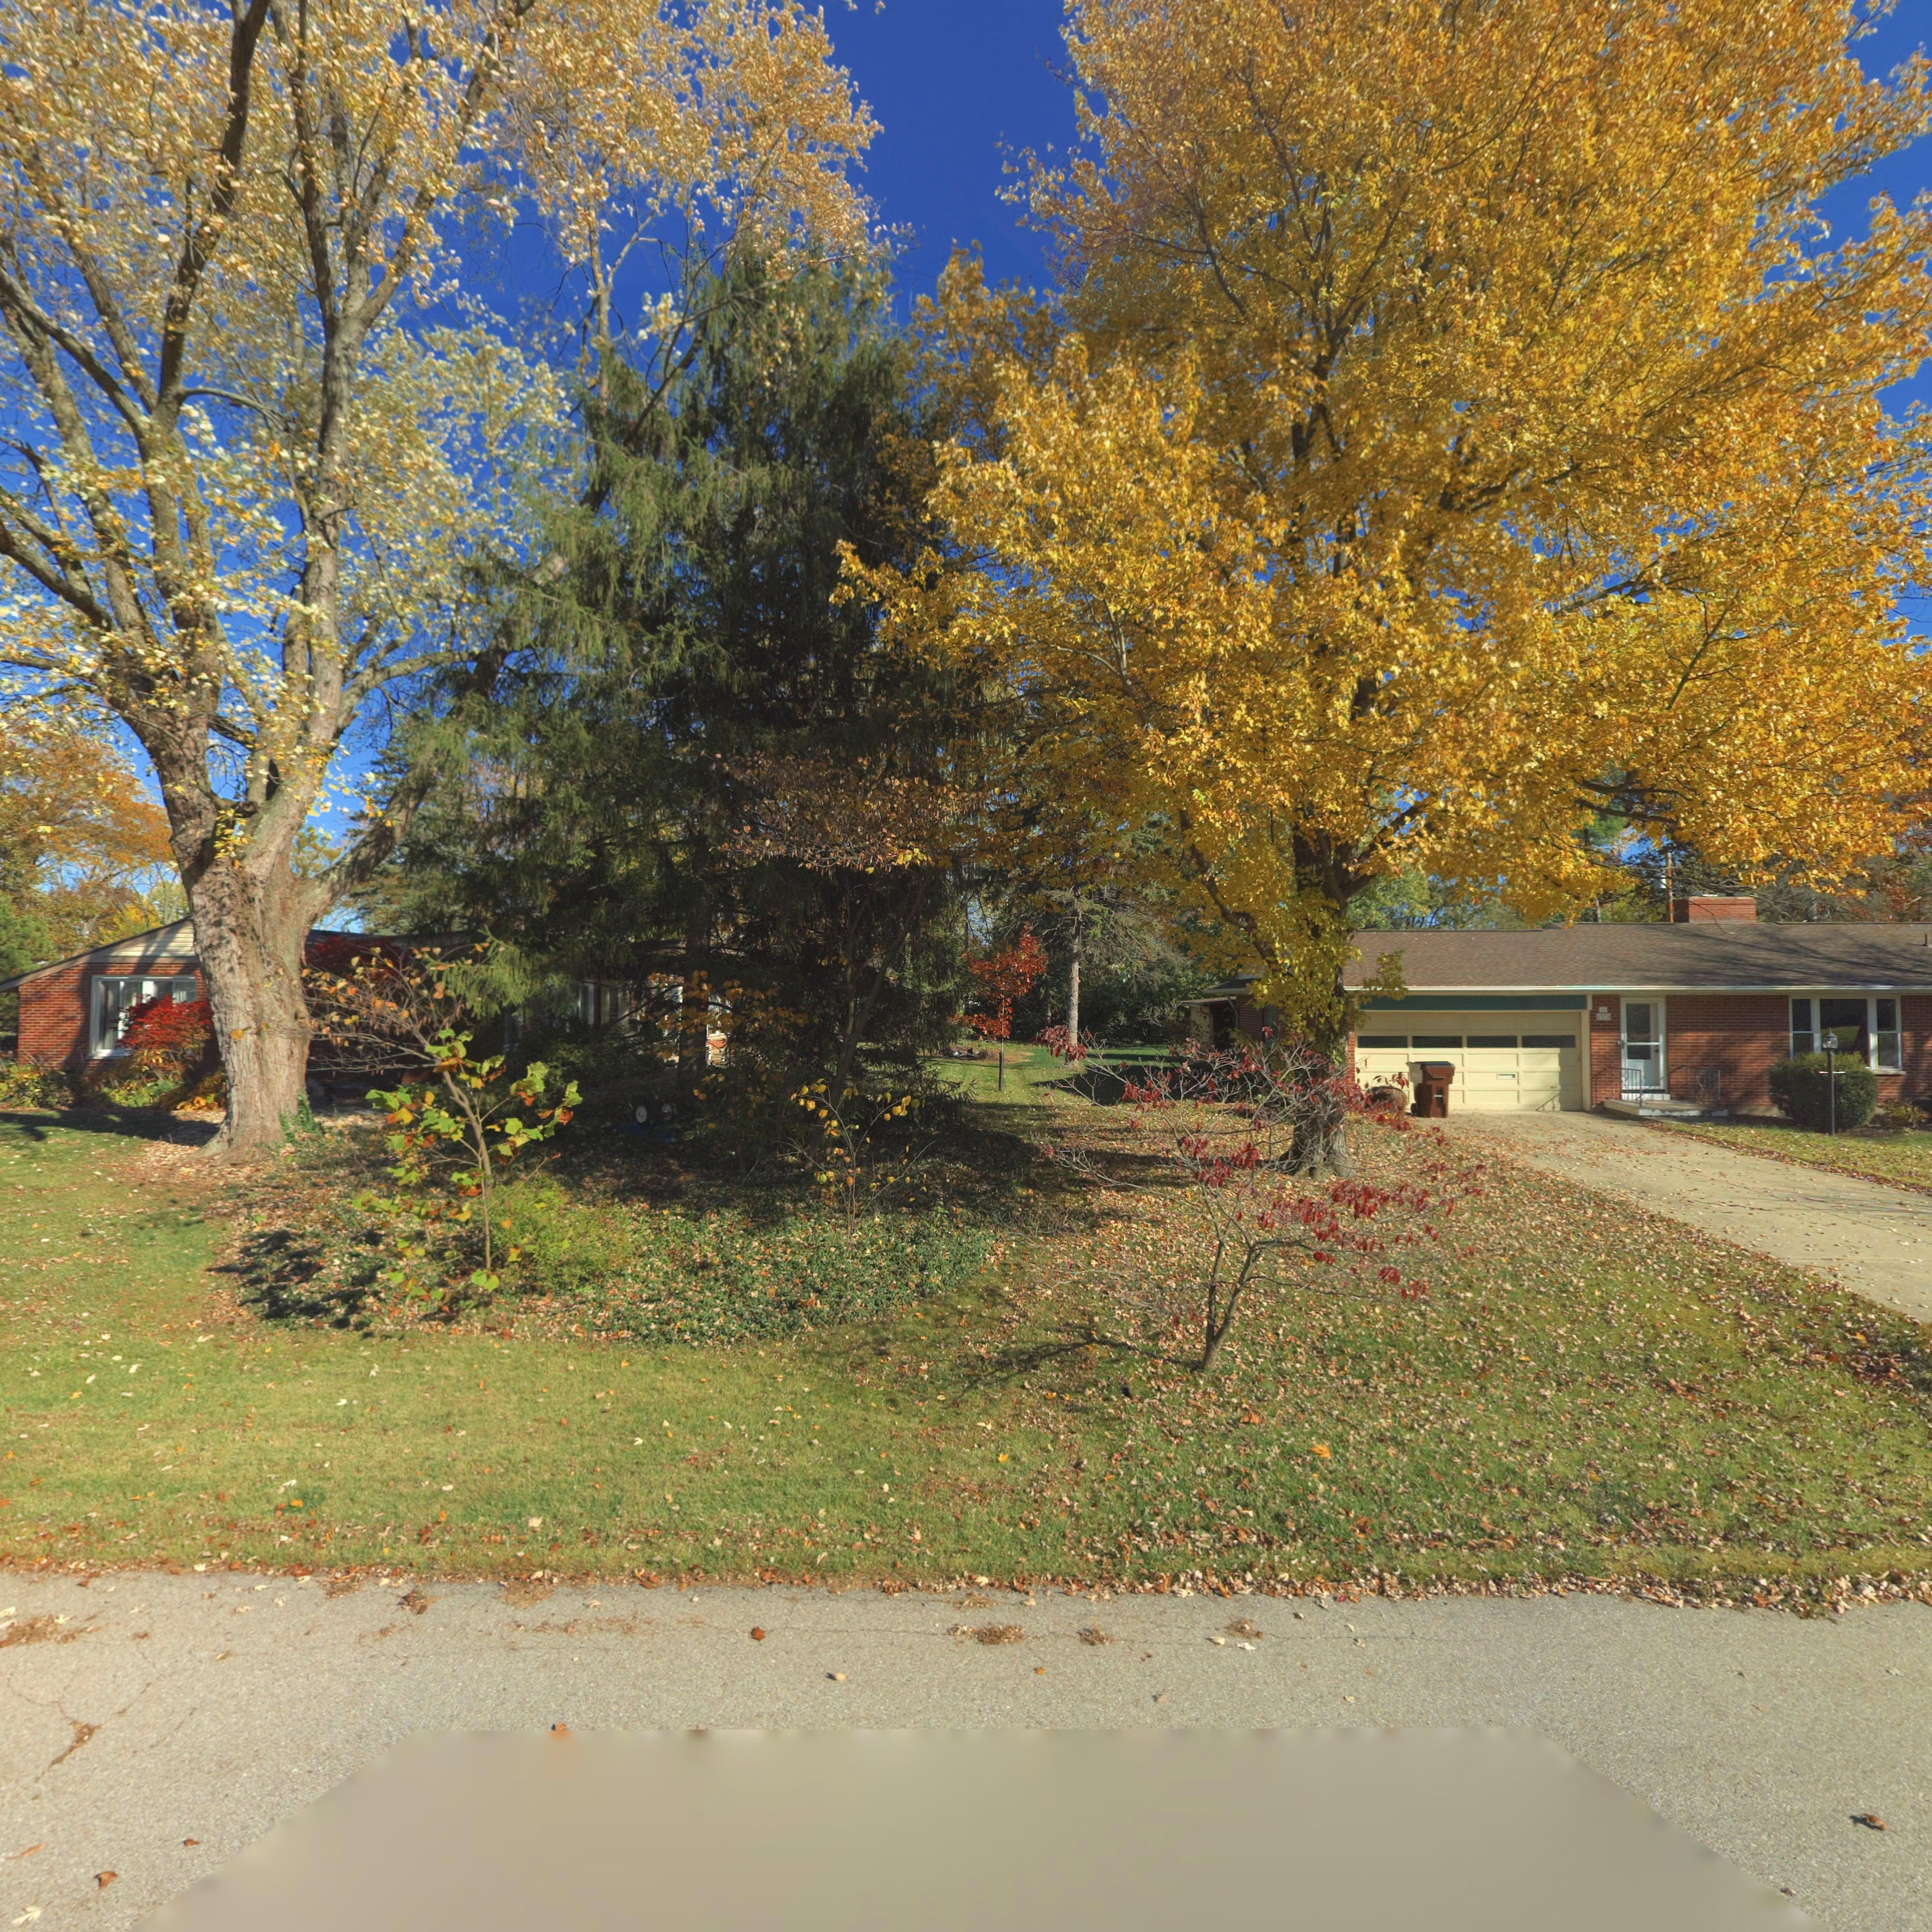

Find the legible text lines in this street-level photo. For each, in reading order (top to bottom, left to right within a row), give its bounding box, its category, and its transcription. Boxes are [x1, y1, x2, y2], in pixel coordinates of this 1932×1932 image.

[1596, 1014, 1612, 1021] StreetNumber: *376